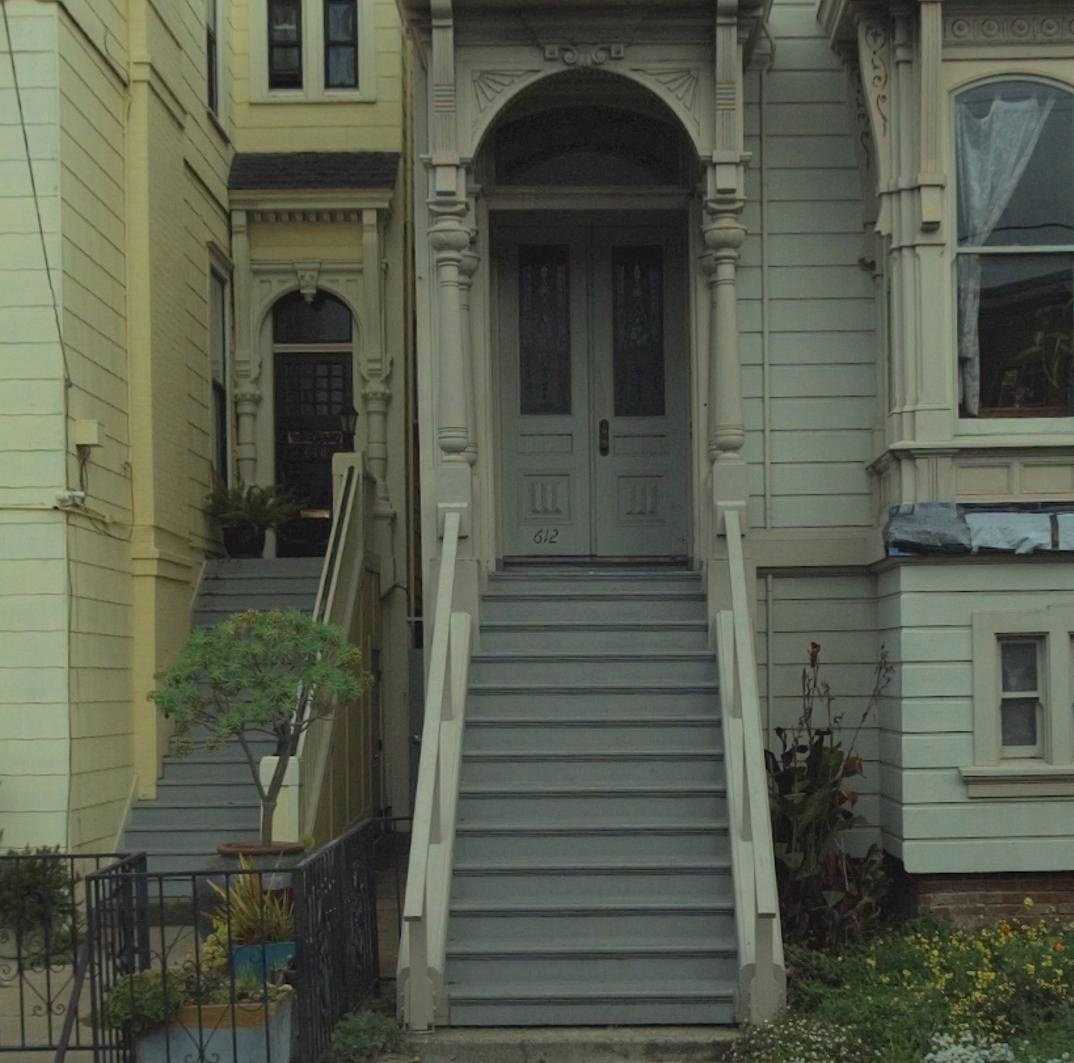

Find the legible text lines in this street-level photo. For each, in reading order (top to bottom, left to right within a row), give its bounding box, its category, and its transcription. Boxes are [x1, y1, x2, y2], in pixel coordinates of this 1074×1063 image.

[531, 526, 561, 546] StreetNumber: 612